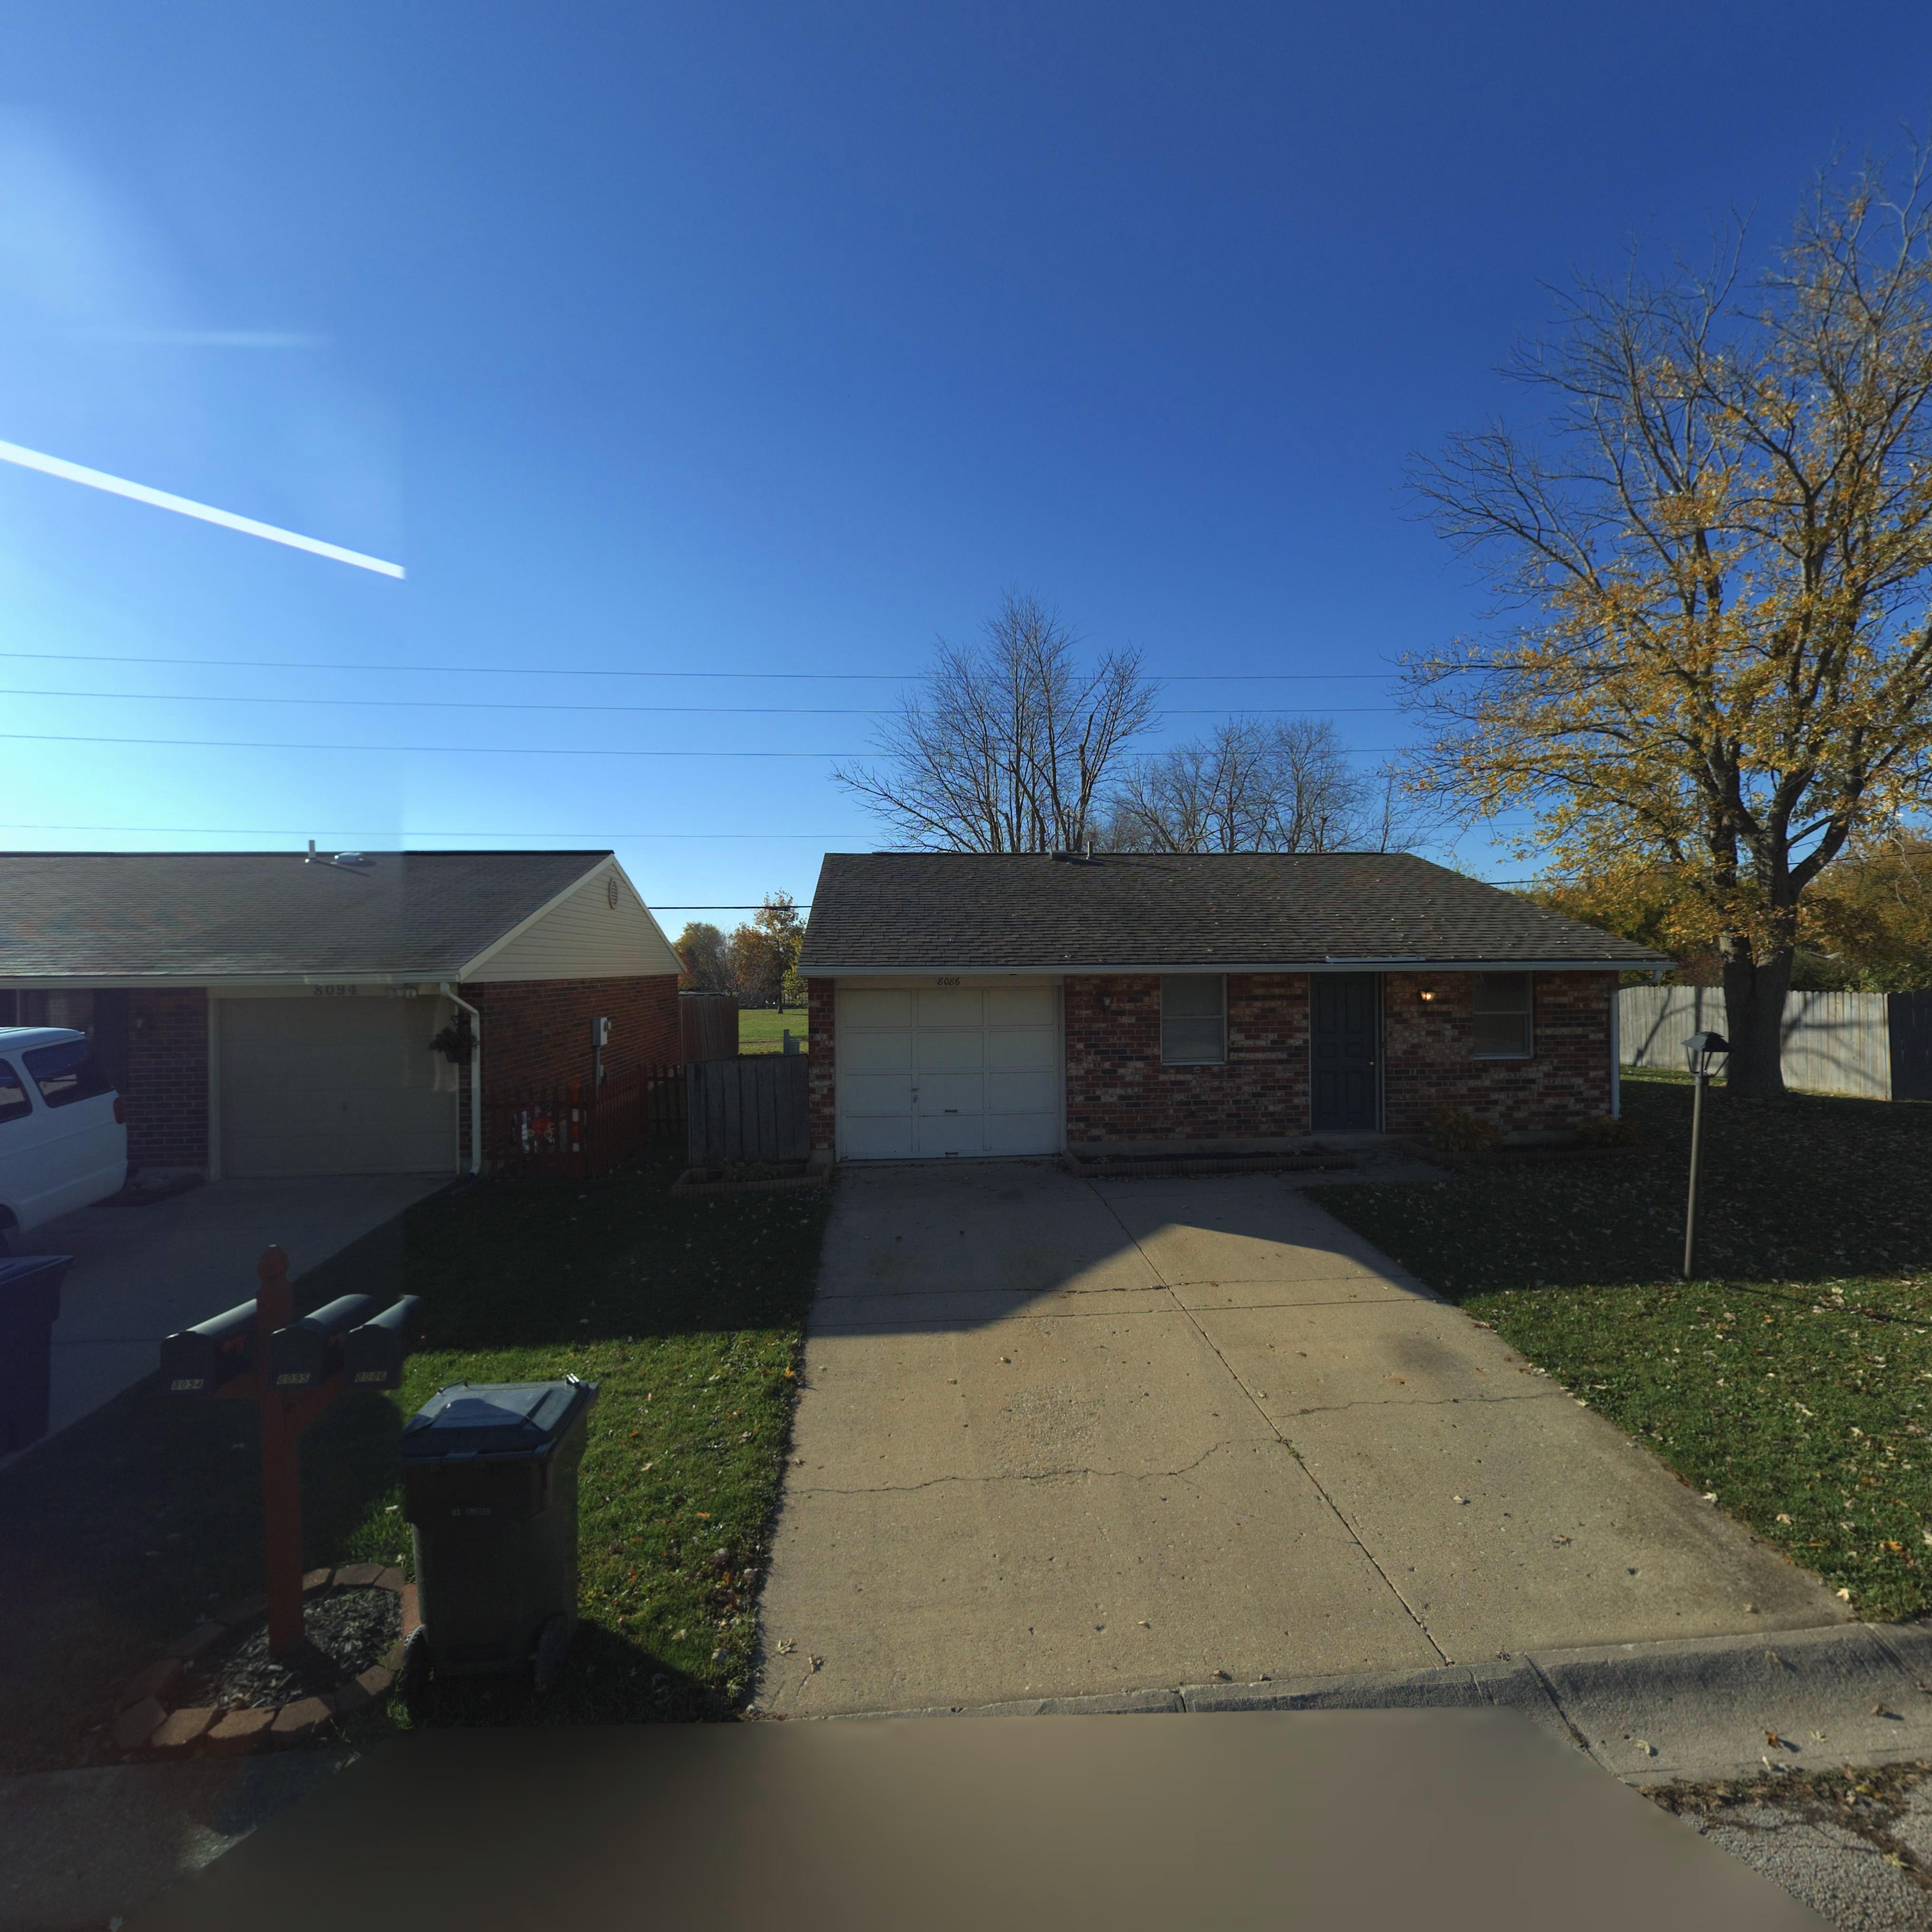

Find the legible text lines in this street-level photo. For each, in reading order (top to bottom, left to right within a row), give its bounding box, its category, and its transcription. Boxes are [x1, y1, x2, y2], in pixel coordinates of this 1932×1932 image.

[936, 976, 961, 987] StreetNumber: 8086
[313, 983, 359, 998] StreetNumber: 8094
[170, 1378, 205, 1392] StreetNumber: 8094
[276, 1372, 310, 1385] StreetNumber: 8095
[354, 1370, 387, 1383] StreetNumber: 8086